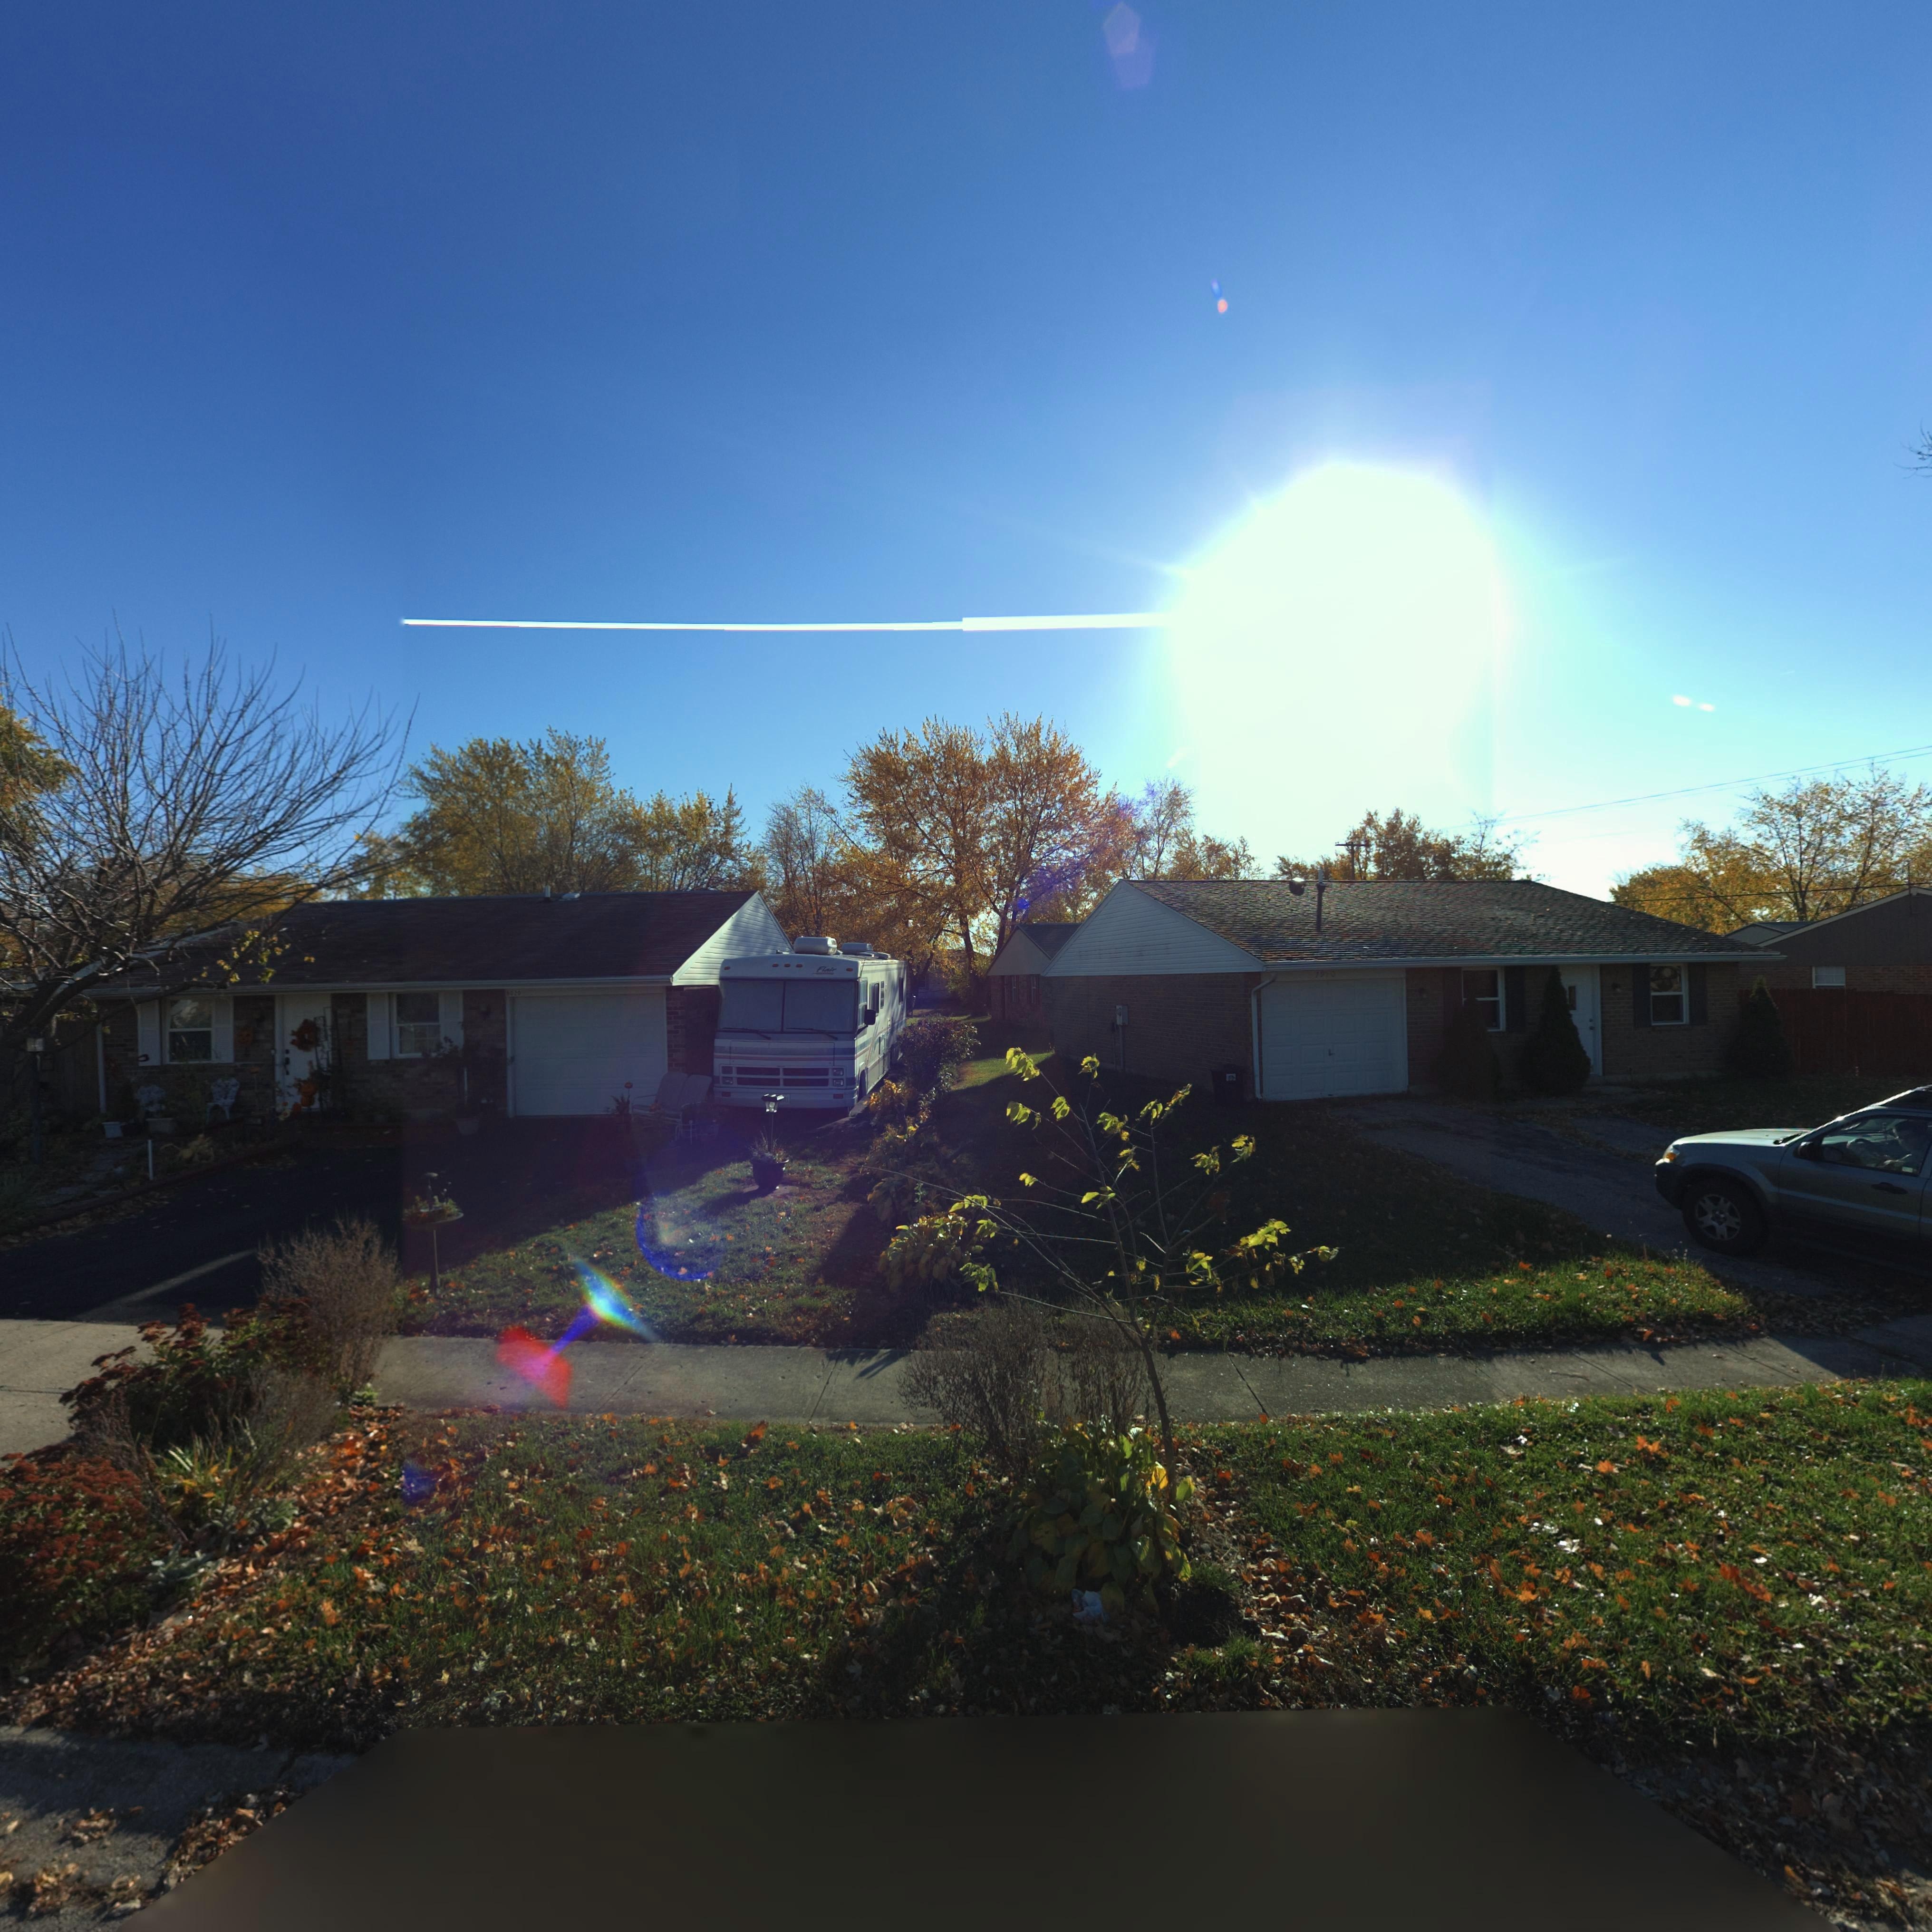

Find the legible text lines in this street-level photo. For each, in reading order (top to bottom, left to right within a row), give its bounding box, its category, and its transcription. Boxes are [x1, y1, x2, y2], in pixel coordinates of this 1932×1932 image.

[1314, 970, 1336, 980] StreetNumber: 79*0
[505, 989, 522, 998] StreetNumber: ***0